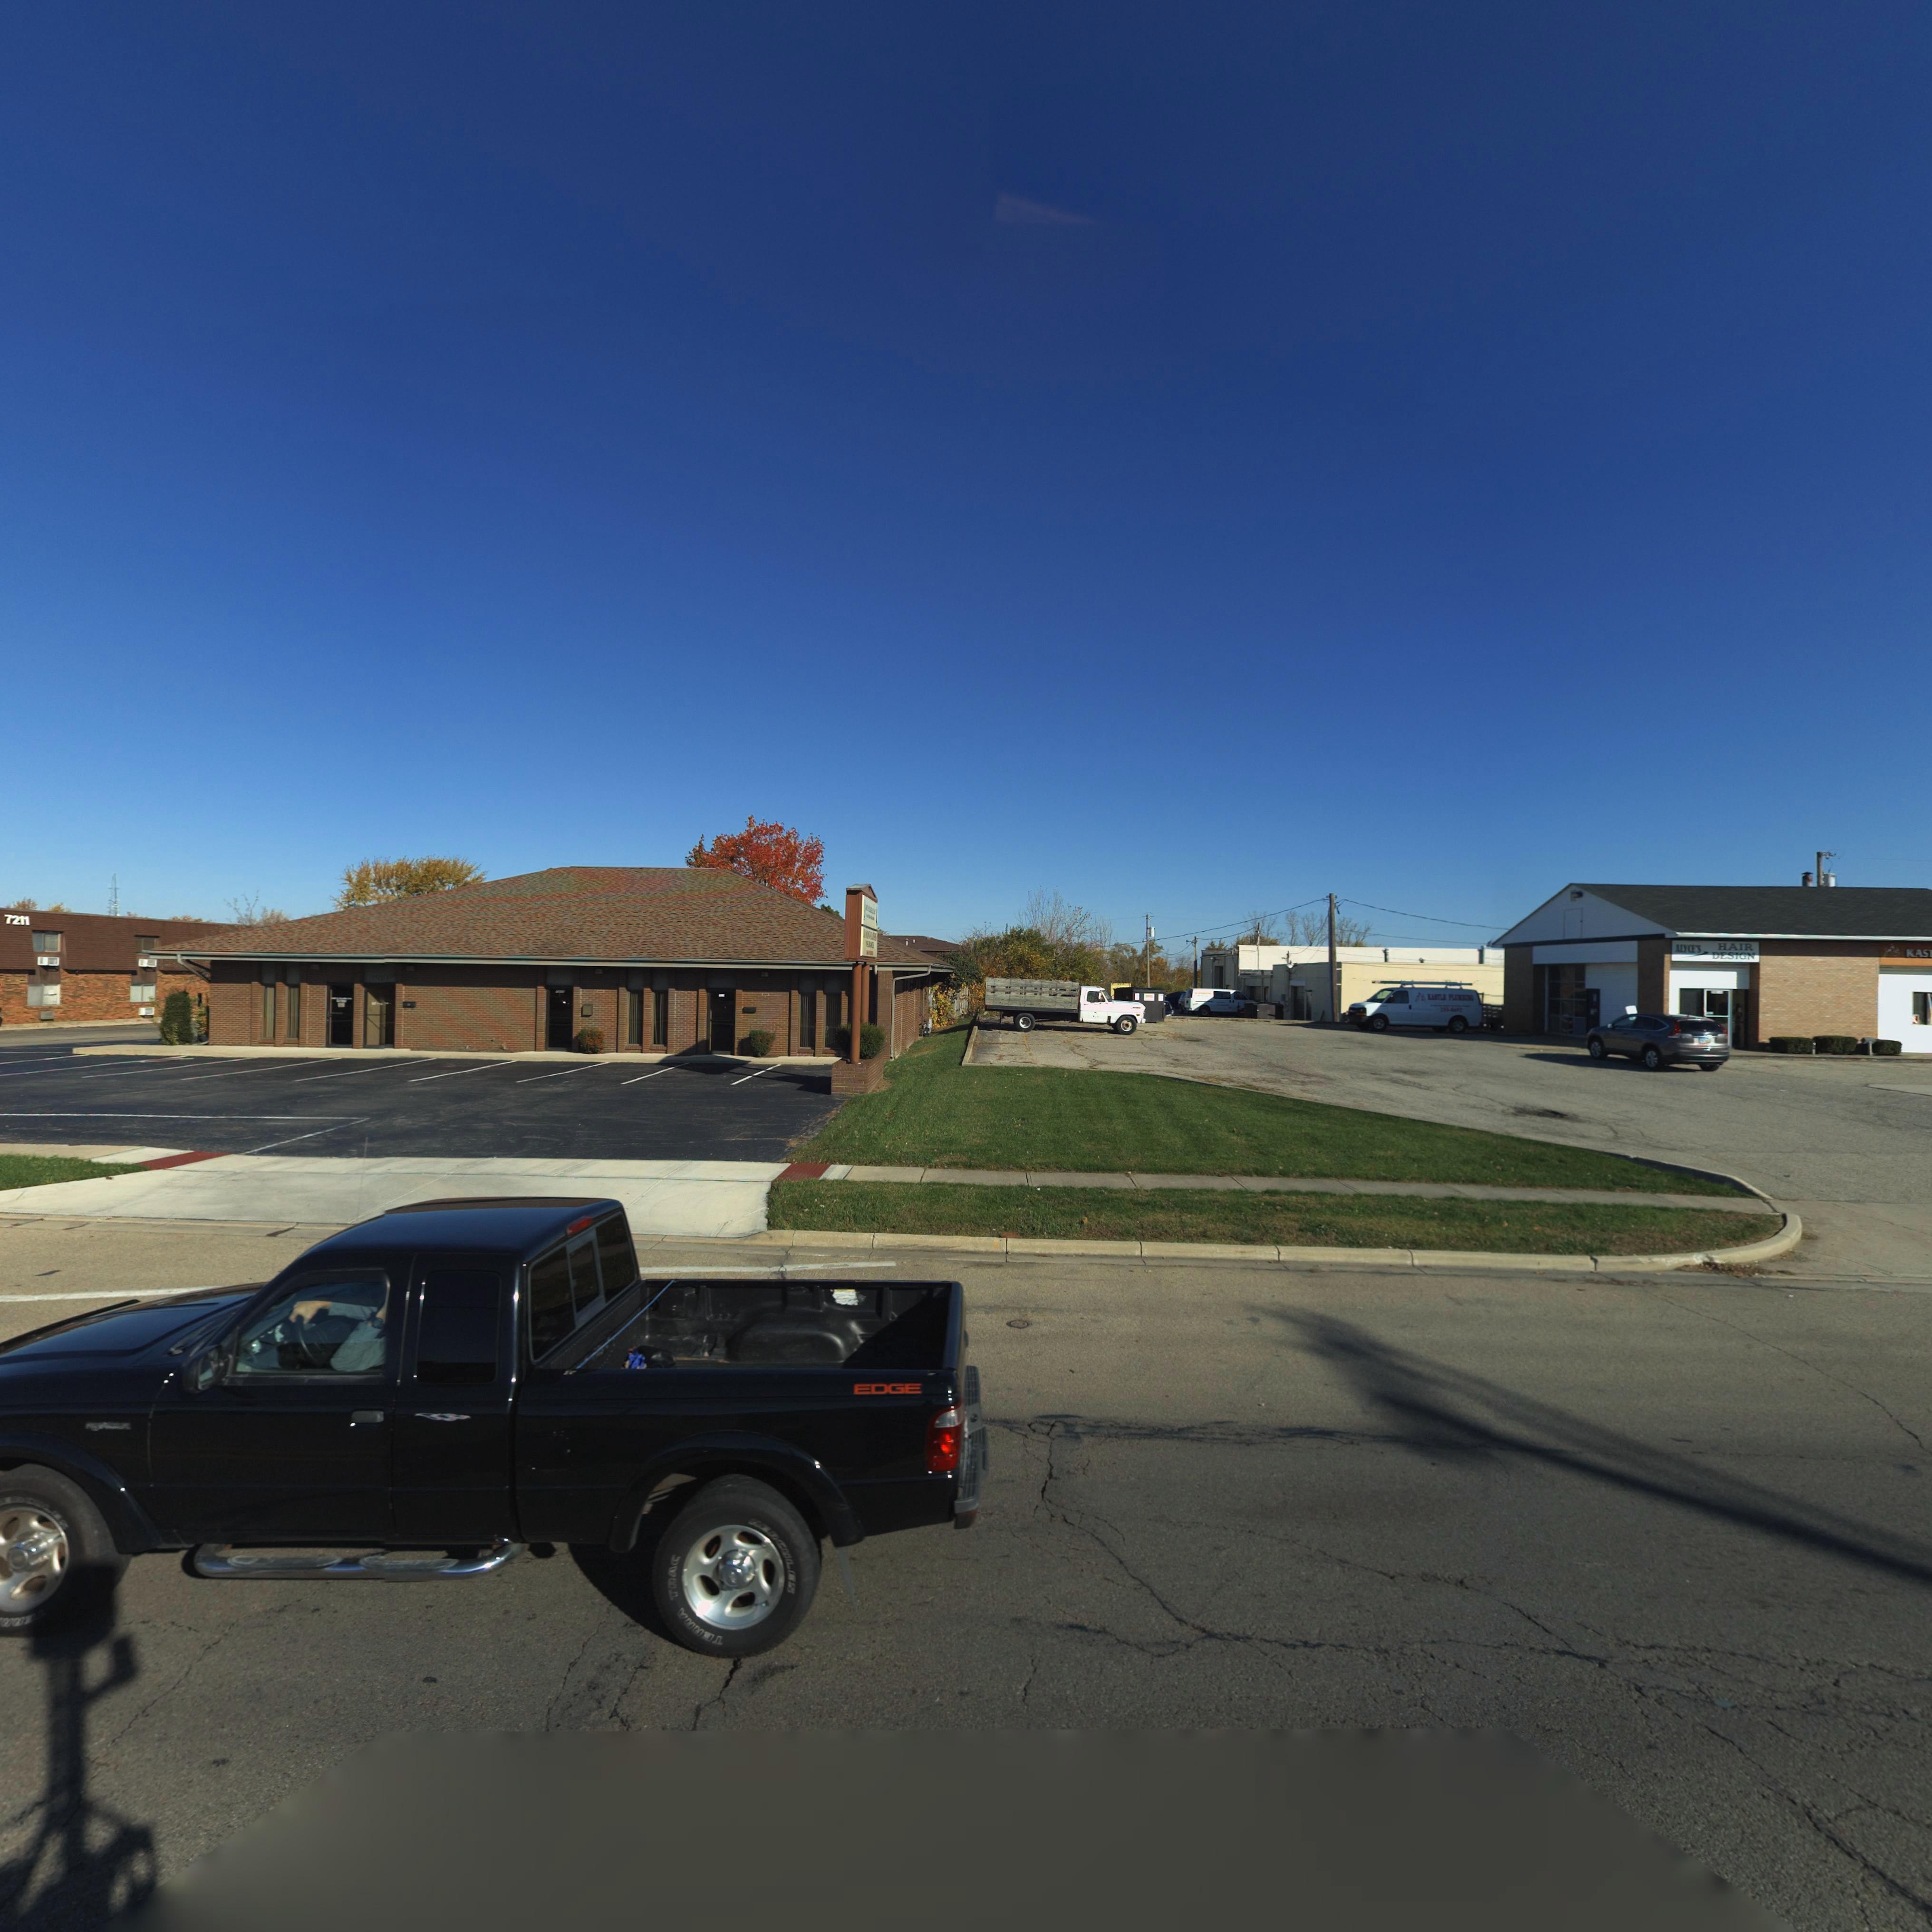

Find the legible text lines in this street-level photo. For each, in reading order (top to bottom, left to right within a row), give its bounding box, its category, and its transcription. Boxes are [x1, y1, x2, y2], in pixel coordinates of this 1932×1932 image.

[3, 914, 31, 927] StreetNumber: 7211
[1674, 944, 1701, 954] BusinessName: ALYCE'S
[1711, 951, 1756, 960] BusinessName: DESIGN
[1717, 942, 1754, 951] BusinessName: HAIR
[1905, 948, 1929, 958] BusinessName: KAS